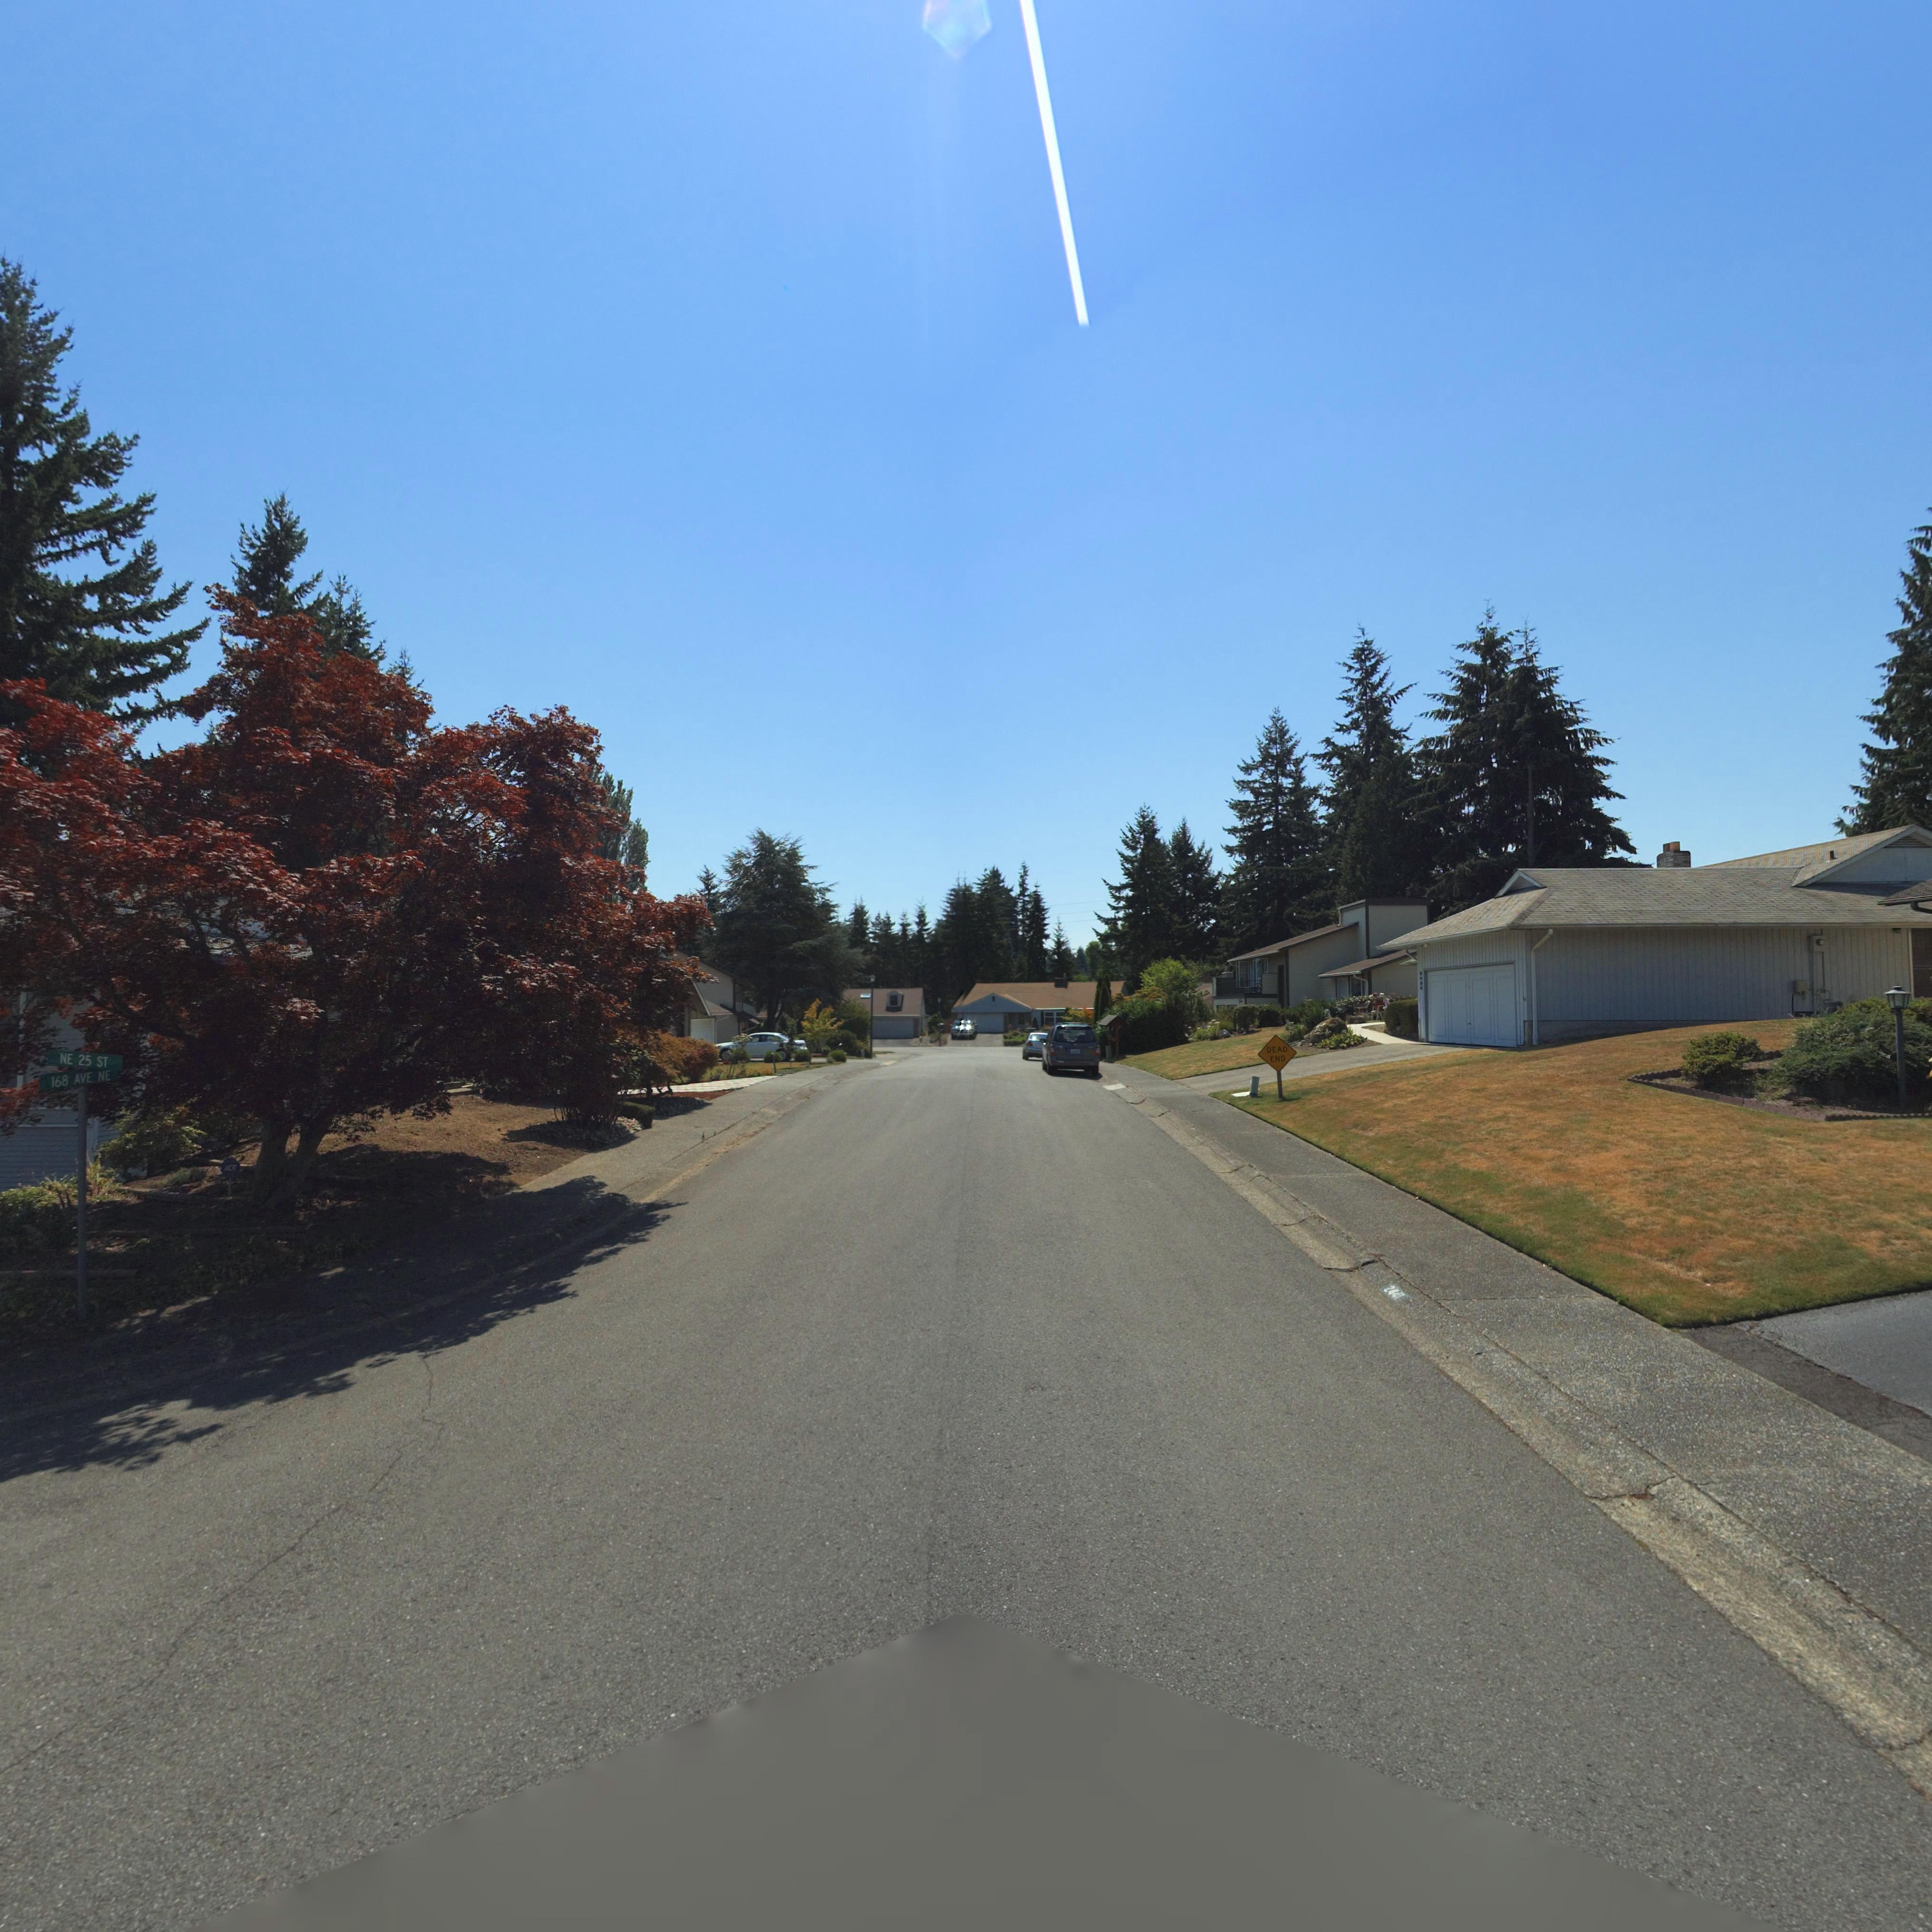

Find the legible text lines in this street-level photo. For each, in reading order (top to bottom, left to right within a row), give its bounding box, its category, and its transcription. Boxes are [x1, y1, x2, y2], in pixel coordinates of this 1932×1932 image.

[58, 1052, 109, 1068] StreetName: NE 25 ST
[50, 1070, 111, 1088] StreetName: 168 AVE NE